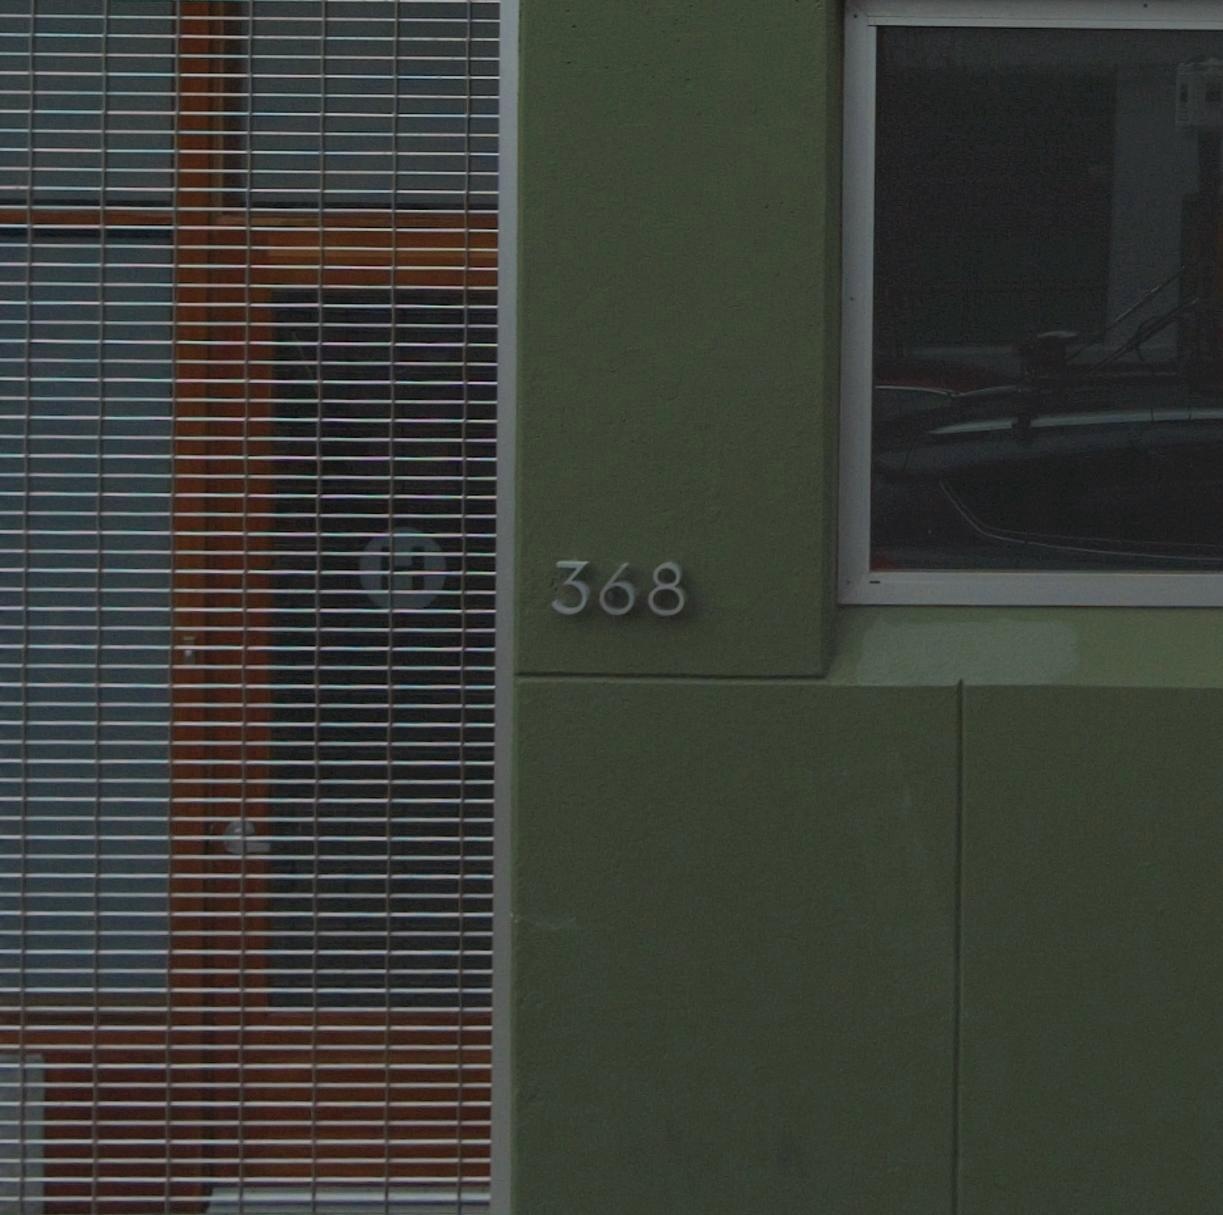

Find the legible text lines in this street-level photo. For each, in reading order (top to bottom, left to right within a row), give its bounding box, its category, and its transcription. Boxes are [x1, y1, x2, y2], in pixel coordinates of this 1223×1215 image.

[548, 557, 687, 618] StreetNumber: 368